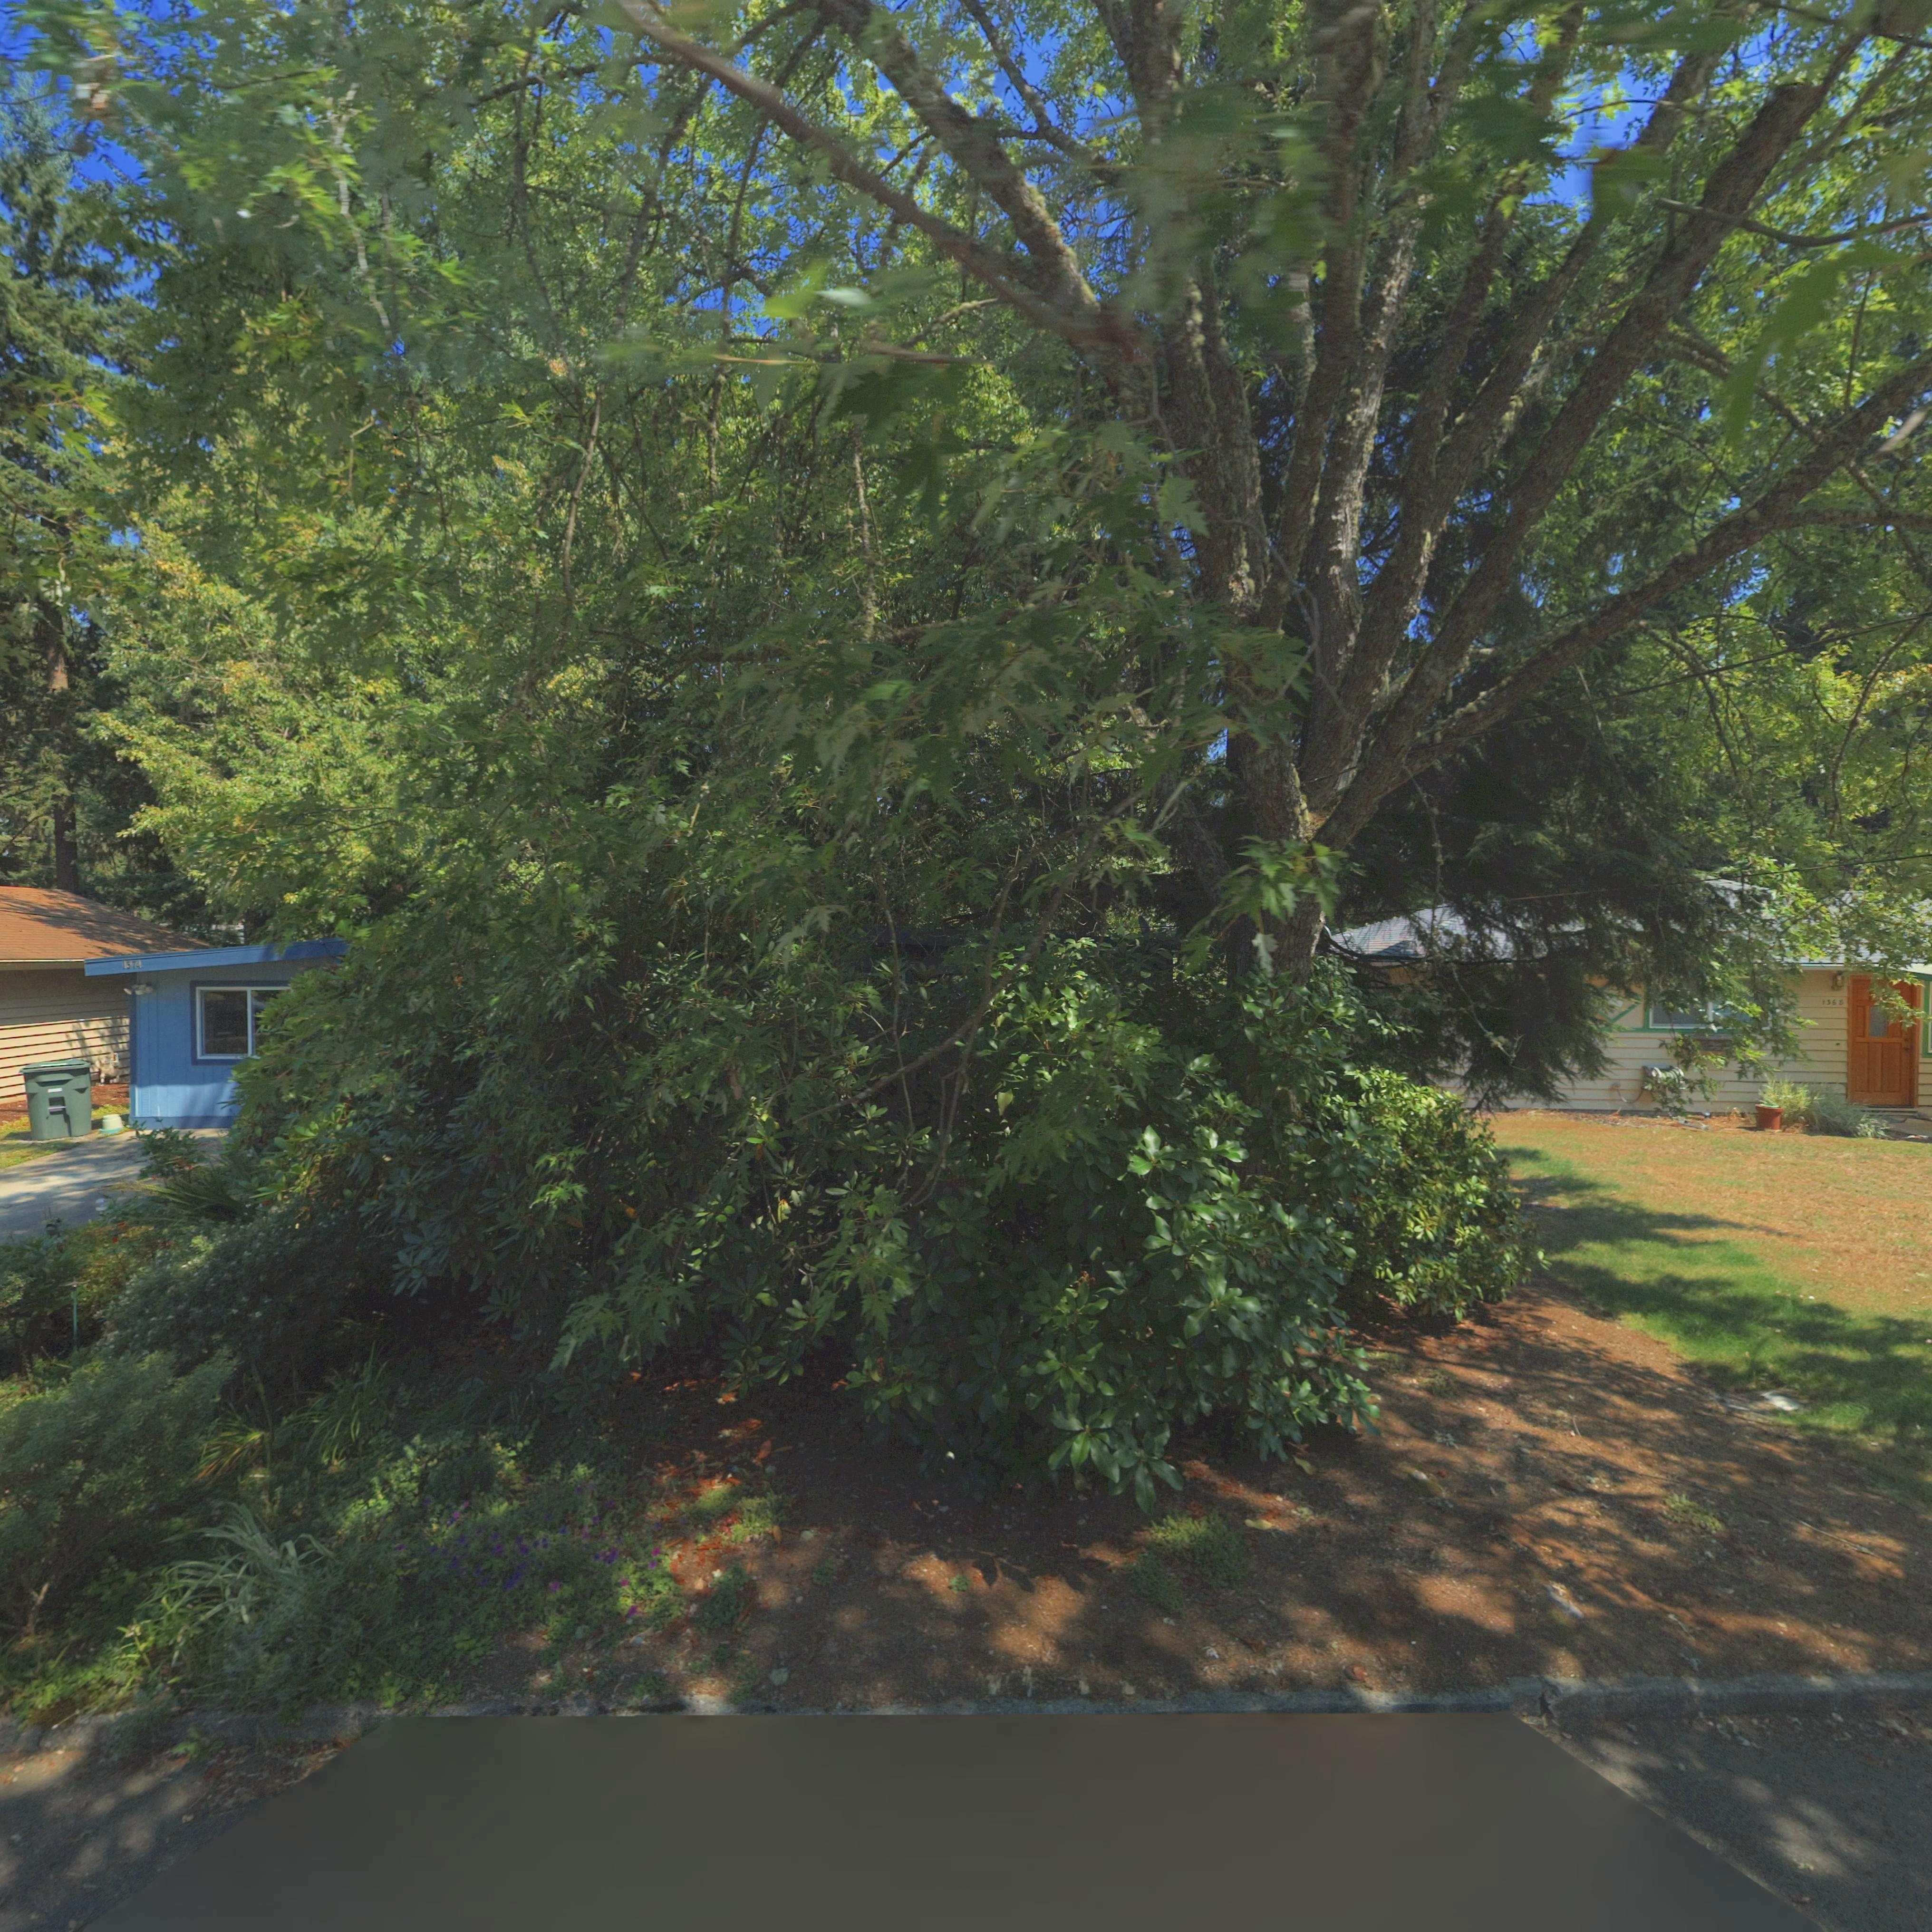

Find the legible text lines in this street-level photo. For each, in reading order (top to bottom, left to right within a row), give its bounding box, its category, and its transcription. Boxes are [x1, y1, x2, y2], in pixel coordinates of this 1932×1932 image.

[122, 960, 141, 969] StreetNumber: 1574
[1823, 999, 1843, 1005] StreetNumber: 156*